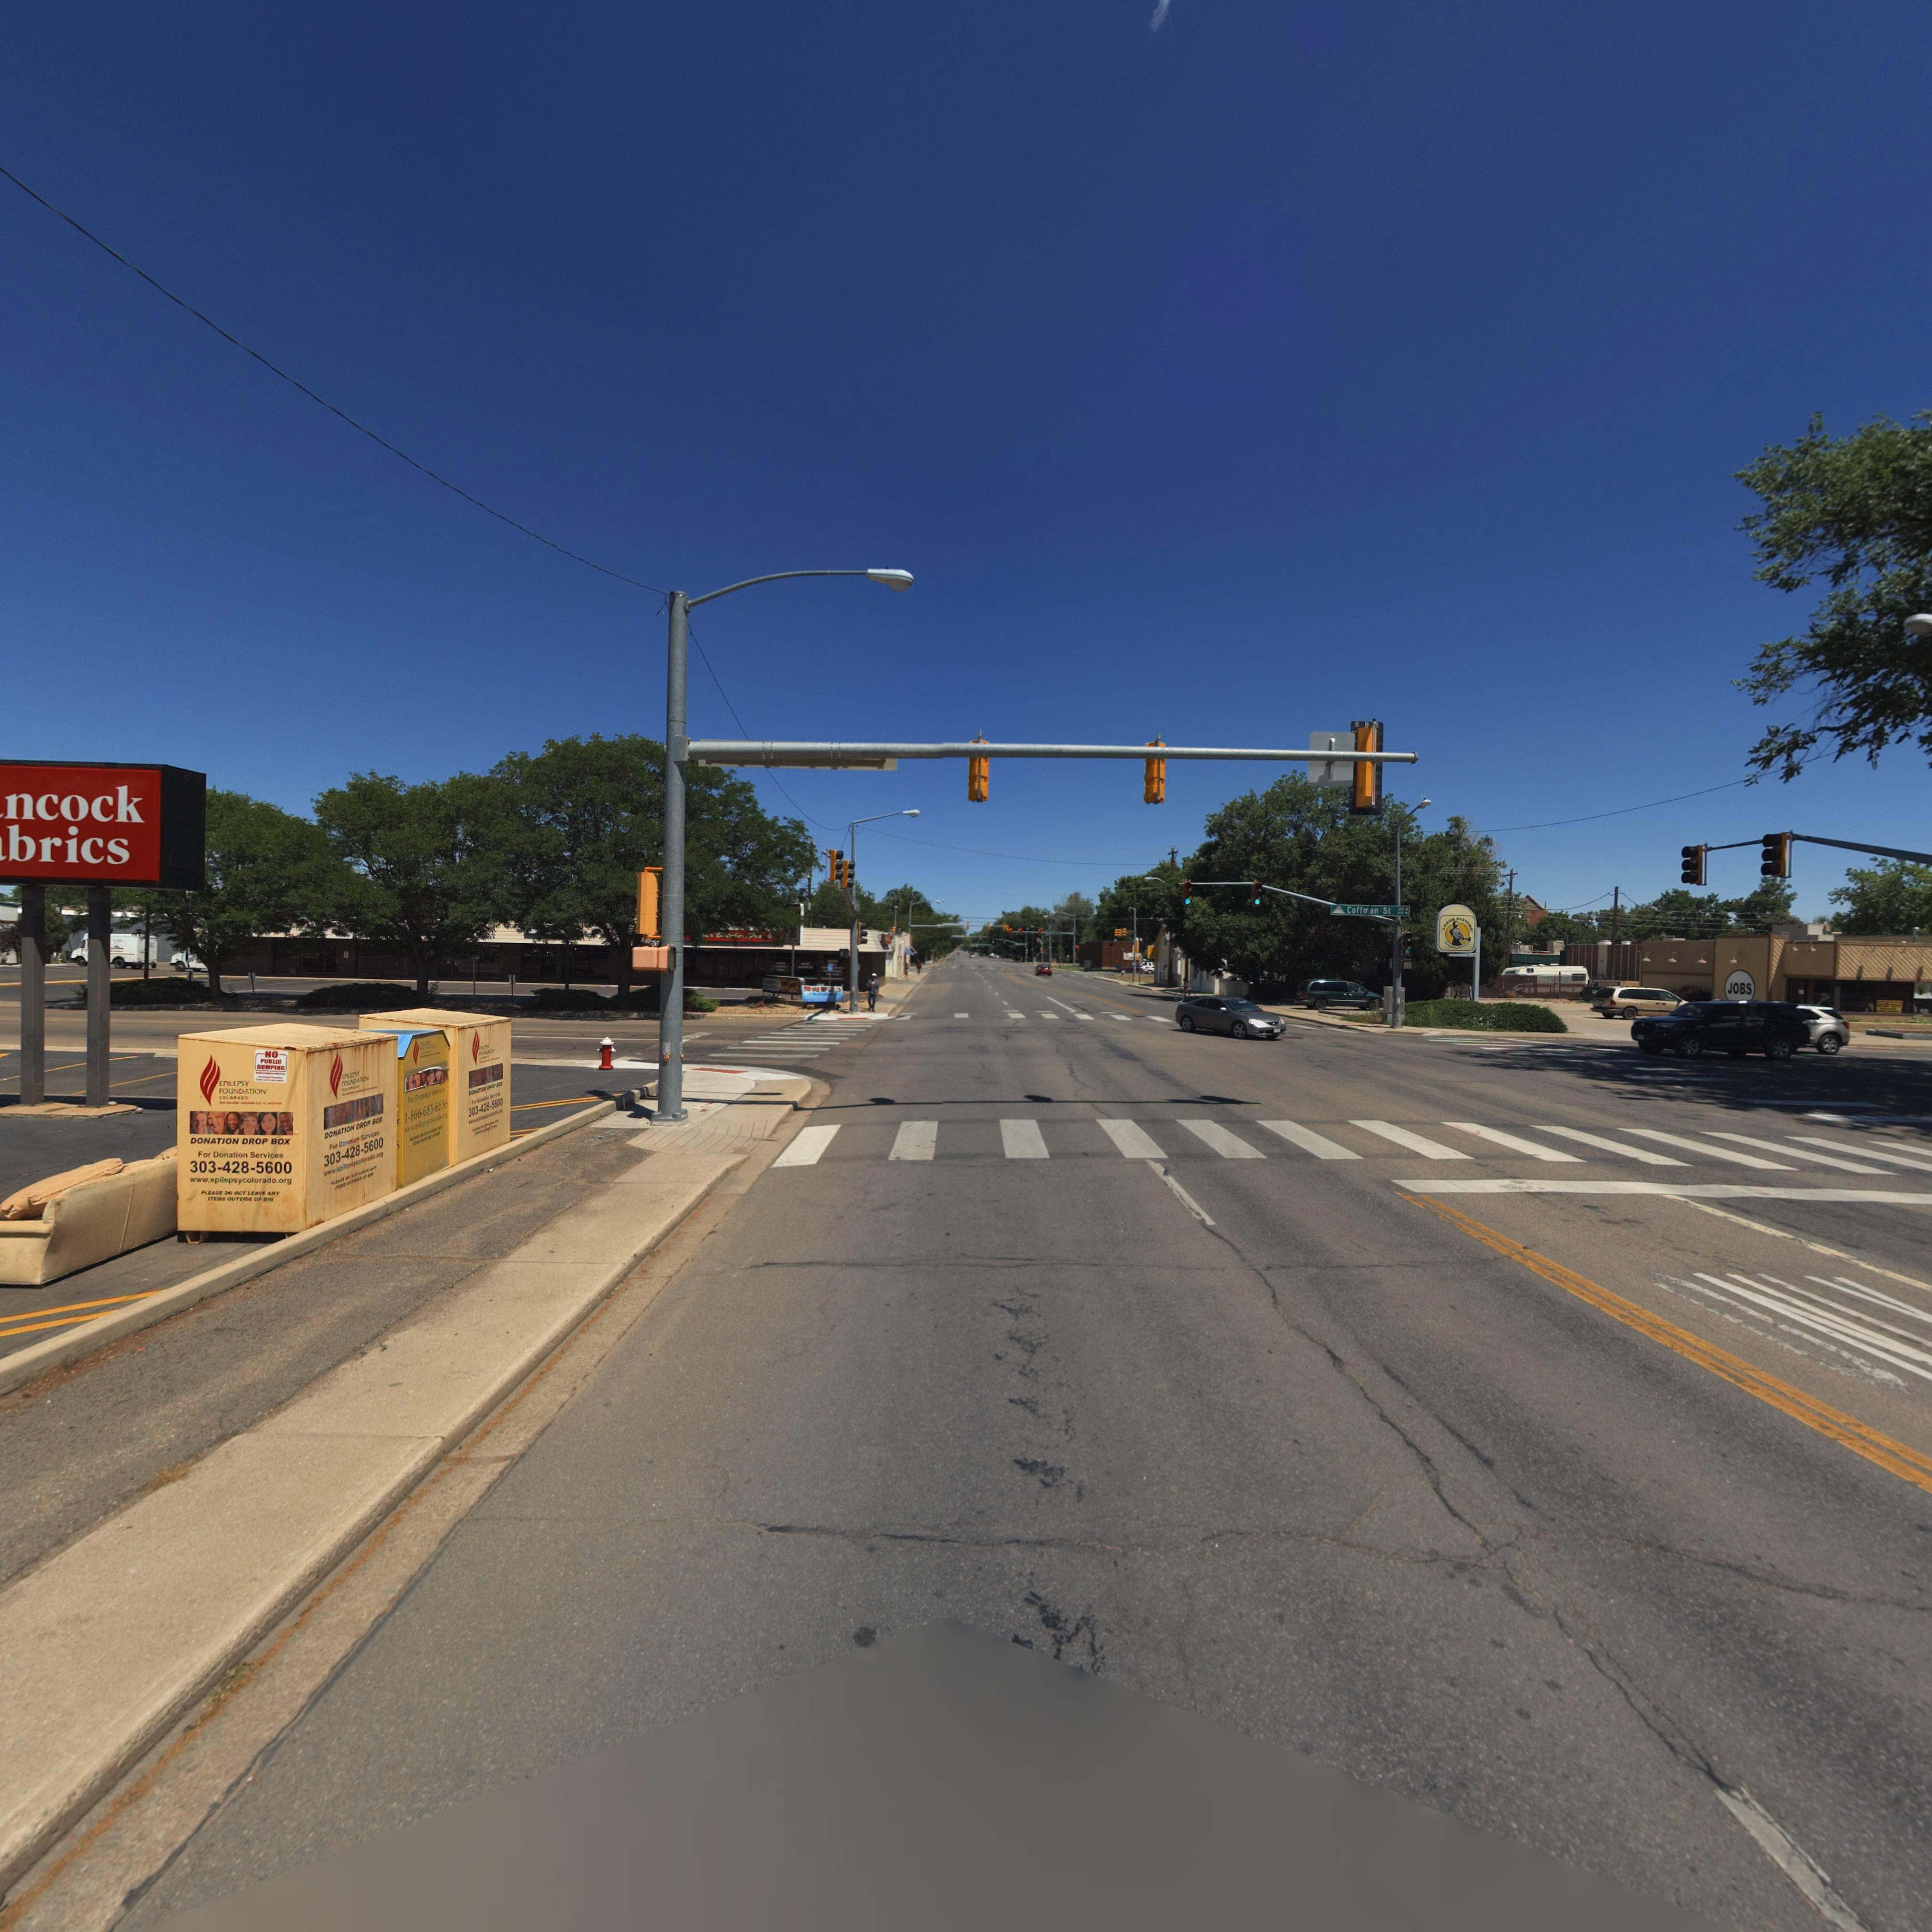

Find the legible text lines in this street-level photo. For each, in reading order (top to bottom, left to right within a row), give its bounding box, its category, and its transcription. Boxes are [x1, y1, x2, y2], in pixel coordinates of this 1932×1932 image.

[3, 784, 145, 823] BusinessName: ncock
[5, 823, 130, 865] BusinessName: brics
[1346, 906, 1391, 914] StreetName: Coffman St
[1398, 907, 1404, 910] StreetNumberRange: 600
[1397, 911, 1408, 915] StreetNumberRange: 800 ->
[1441, 917, 1473, 931] BusinessName: LABOR SYSTEMS
[702, 931, 772, 939] BusinessName: **r Butcher Frank
[765, 984, 777, 989] BusinessName: REAL ESTATE
[763, 979, 780, 985] BusinessName: COLORADO GOLD
[781, 980, 798, 988] BusinessName: DELI CiOSO